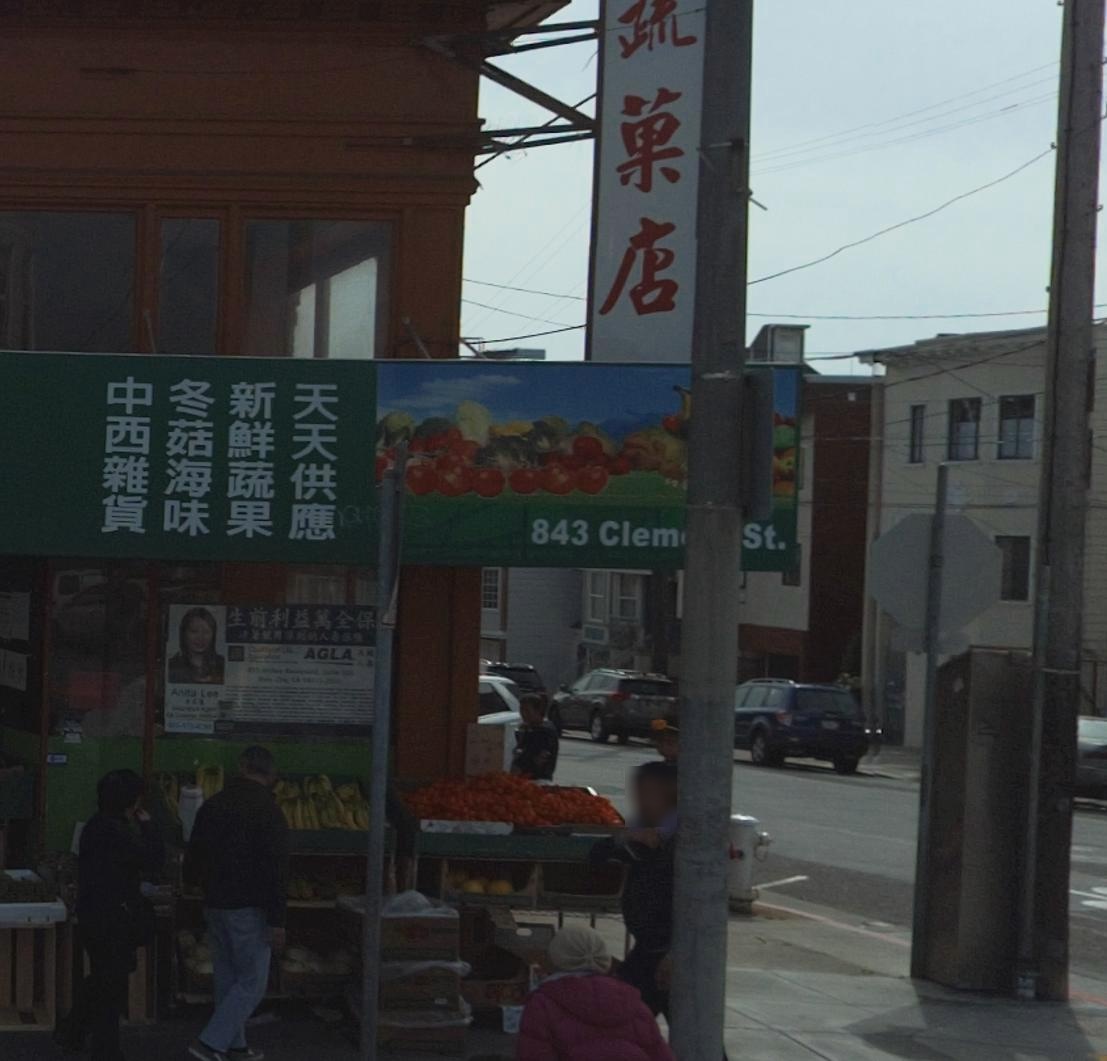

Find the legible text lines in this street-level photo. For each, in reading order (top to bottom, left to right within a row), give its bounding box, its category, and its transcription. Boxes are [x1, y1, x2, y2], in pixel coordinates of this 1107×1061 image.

[530, 518, 589, 546] StreetNumber: 843
[597, 519, 786, 550] StreetName: Clem*** St.
[301, 646, 352, 661] None: AGLA